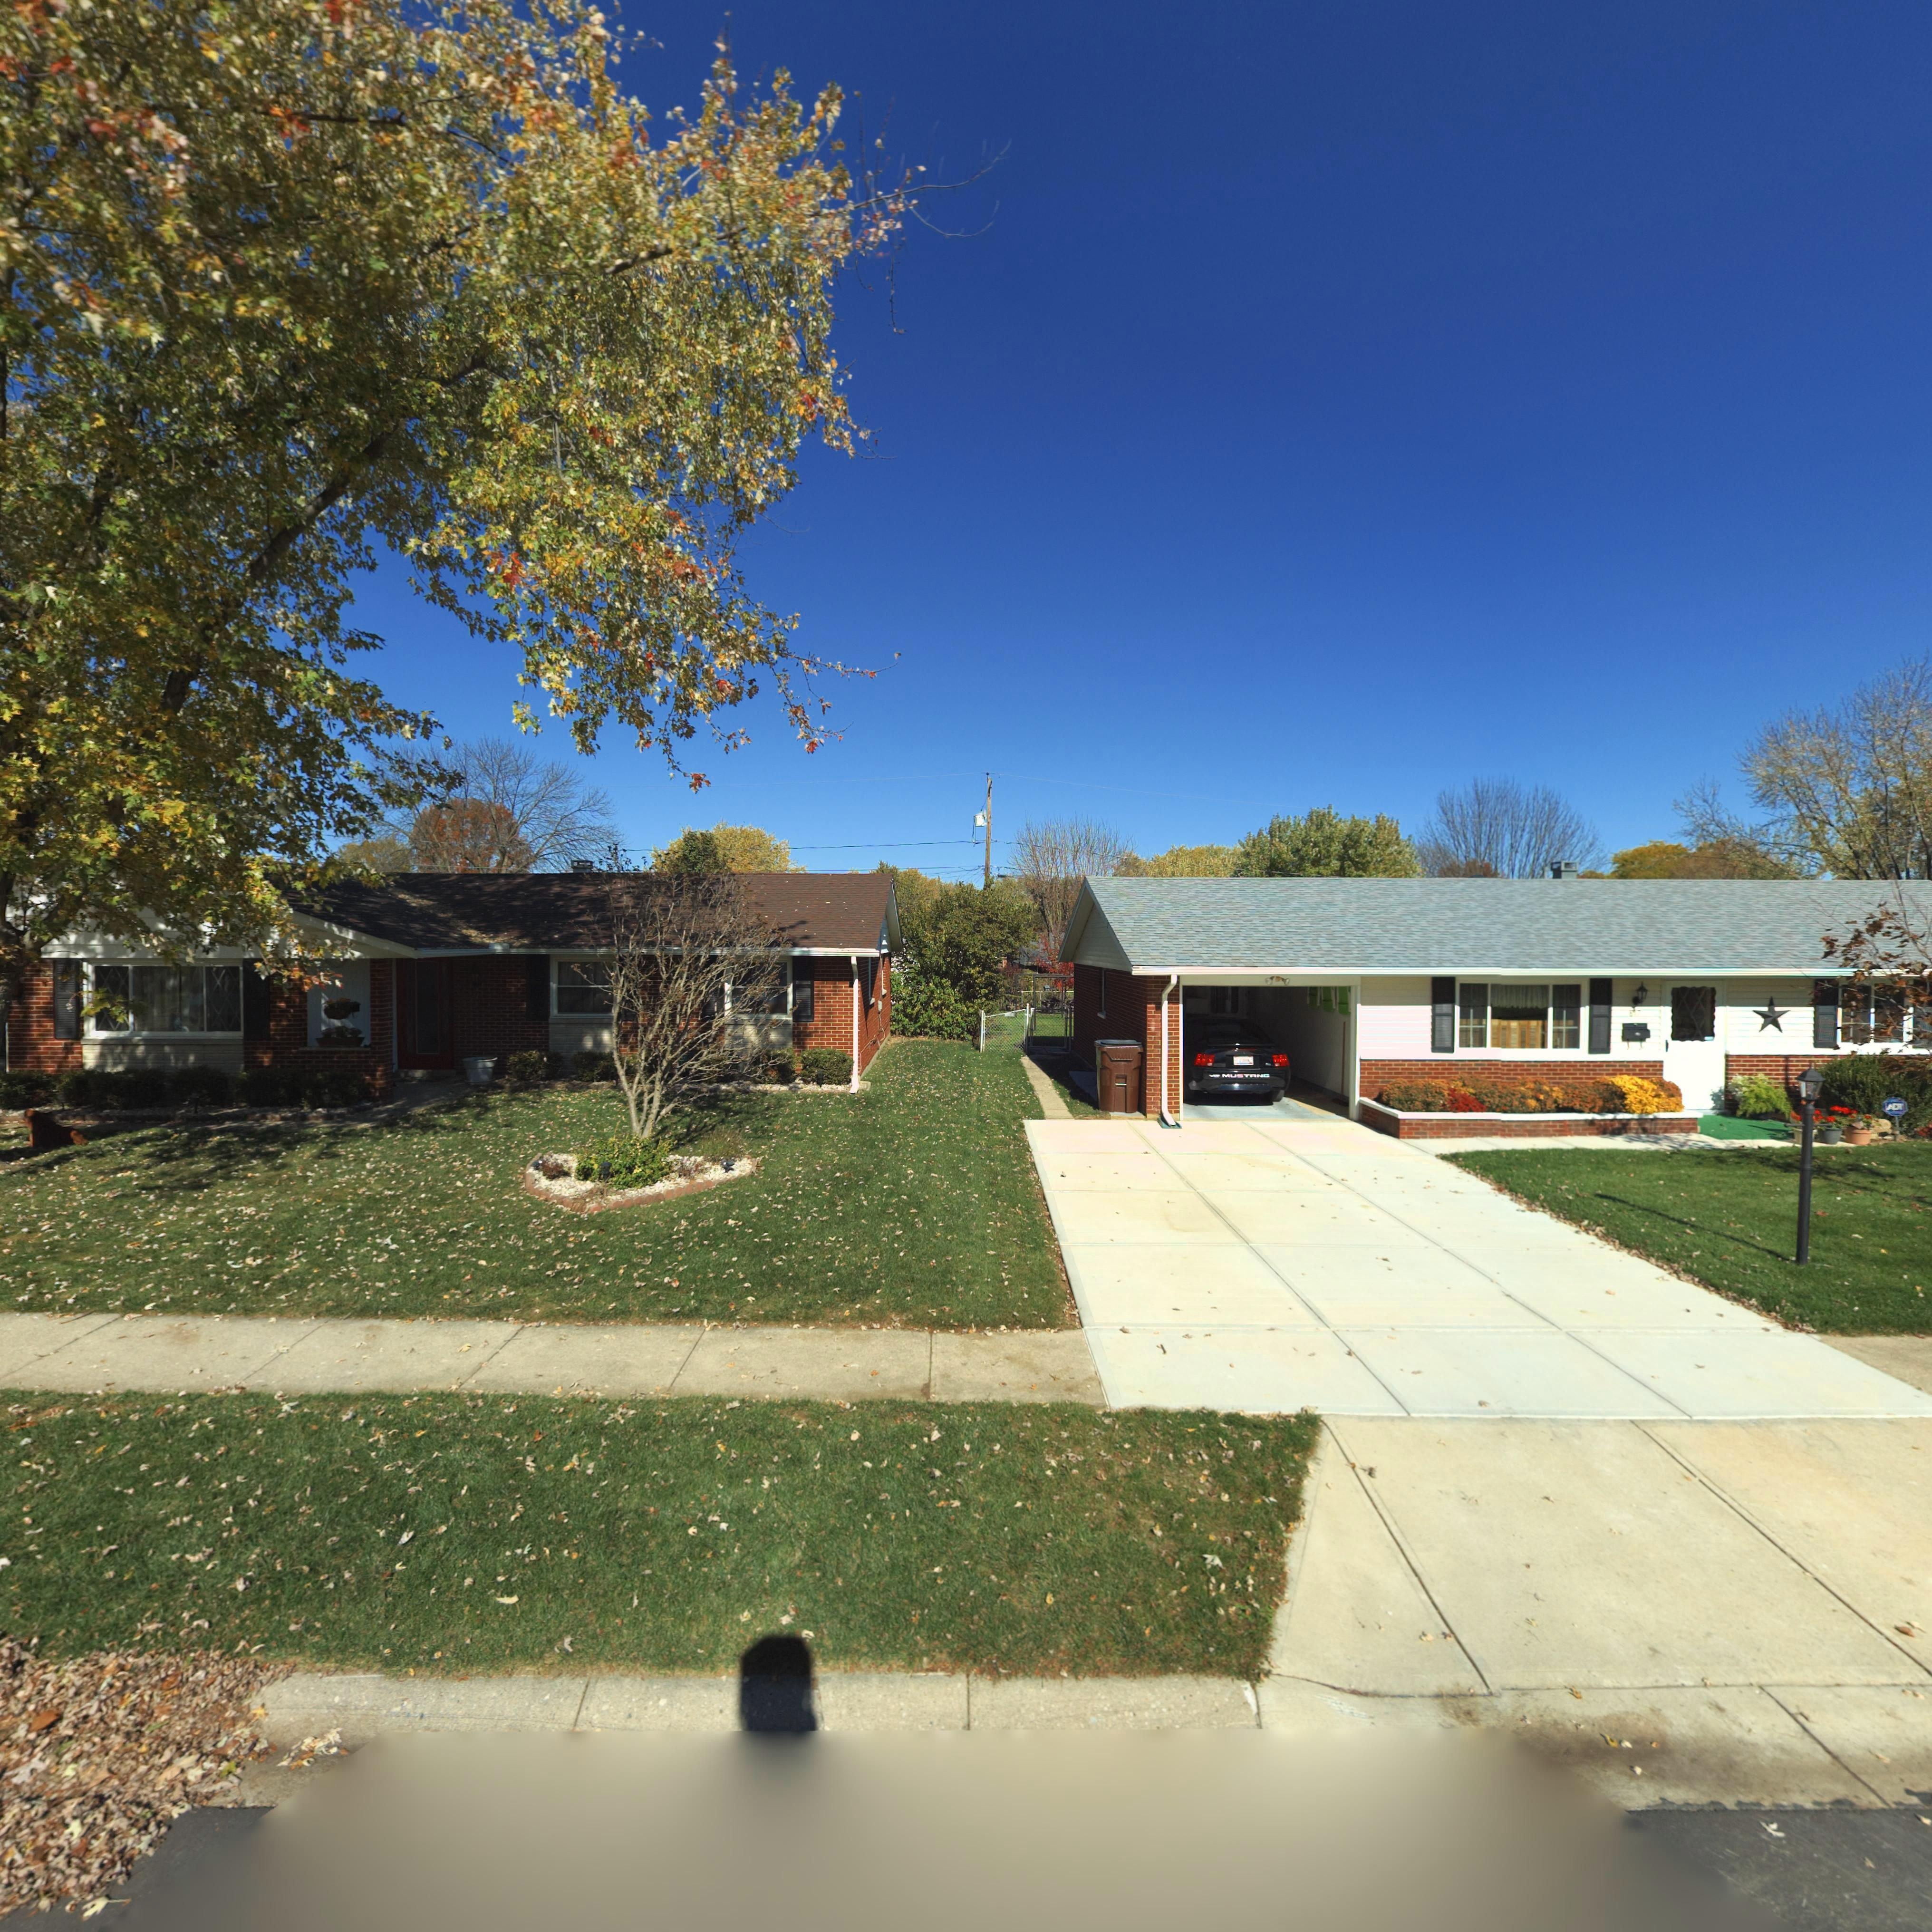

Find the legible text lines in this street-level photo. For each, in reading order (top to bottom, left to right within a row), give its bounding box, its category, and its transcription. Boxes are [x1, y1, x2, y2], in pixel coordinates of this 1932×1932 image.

[1628, 1009, 1641, 1017] StreetNumber: 817